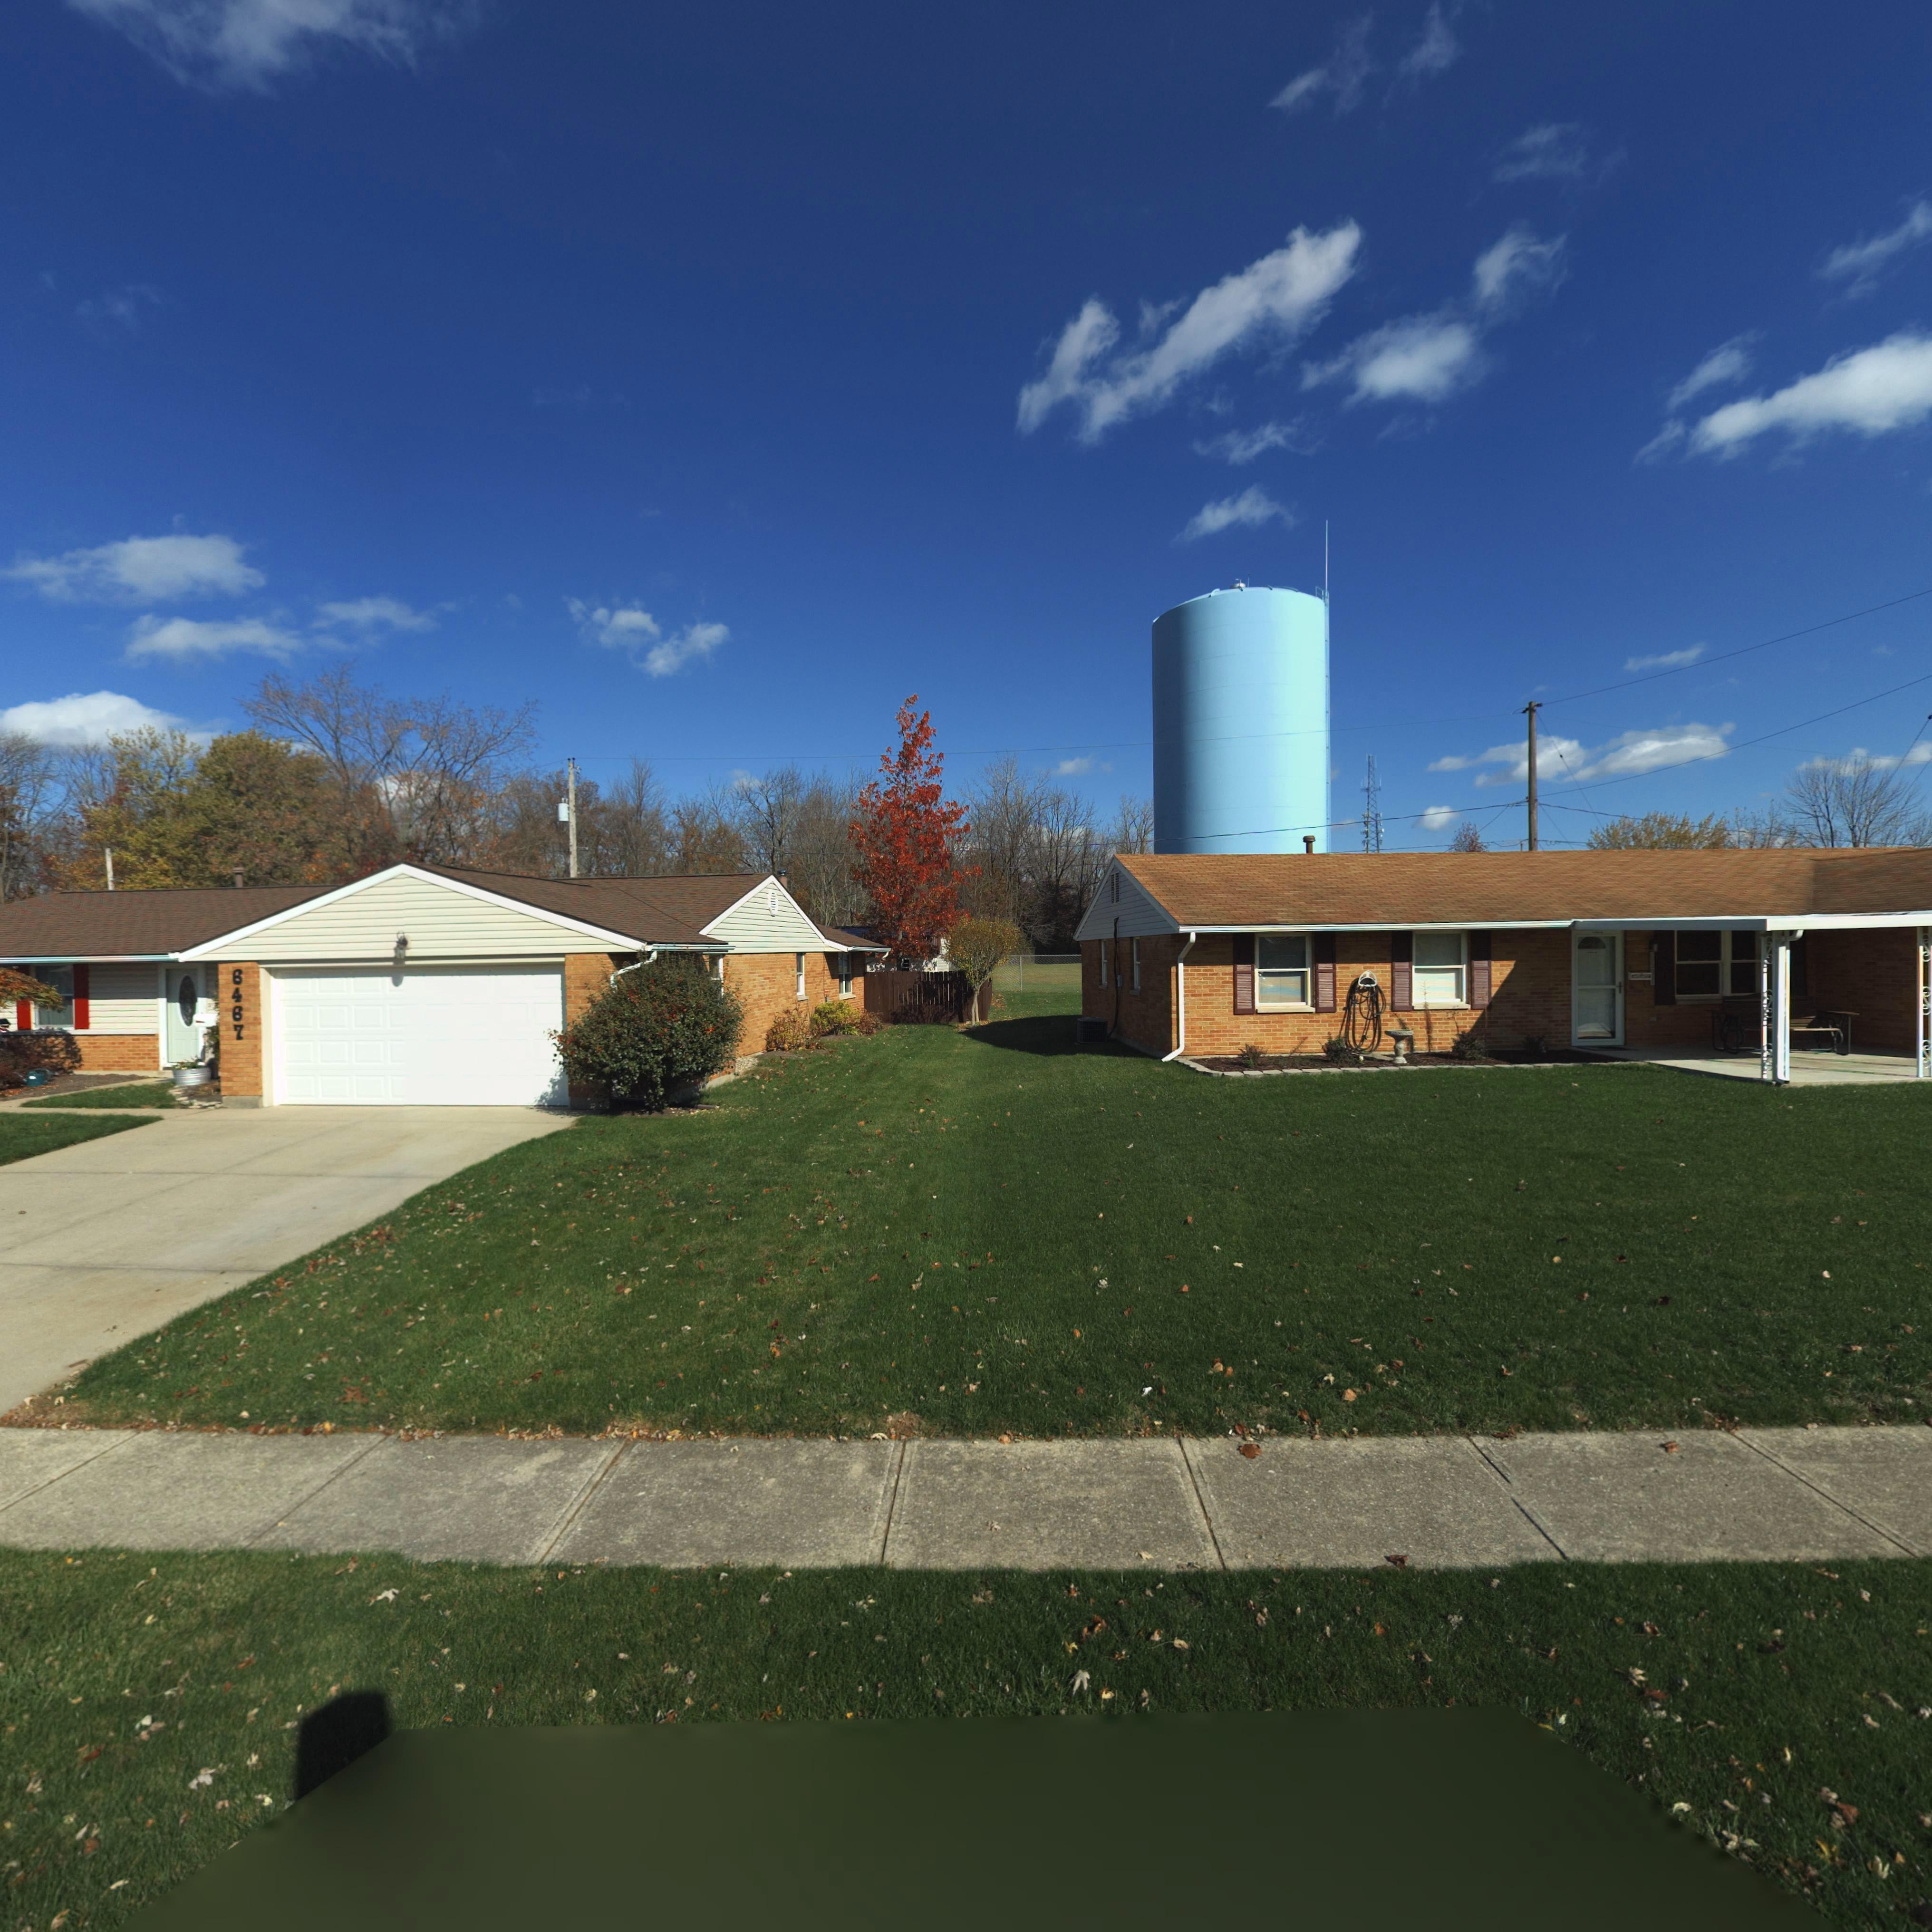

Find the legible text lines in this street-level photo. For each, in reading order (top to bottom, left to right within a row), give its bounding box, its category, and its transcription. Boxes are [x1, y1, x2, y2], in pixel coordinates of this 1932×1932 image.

[232, 968, 245, 1042] StreetNumber: 6467
[1650, 975, 1655, 984] StreetNumber: 1